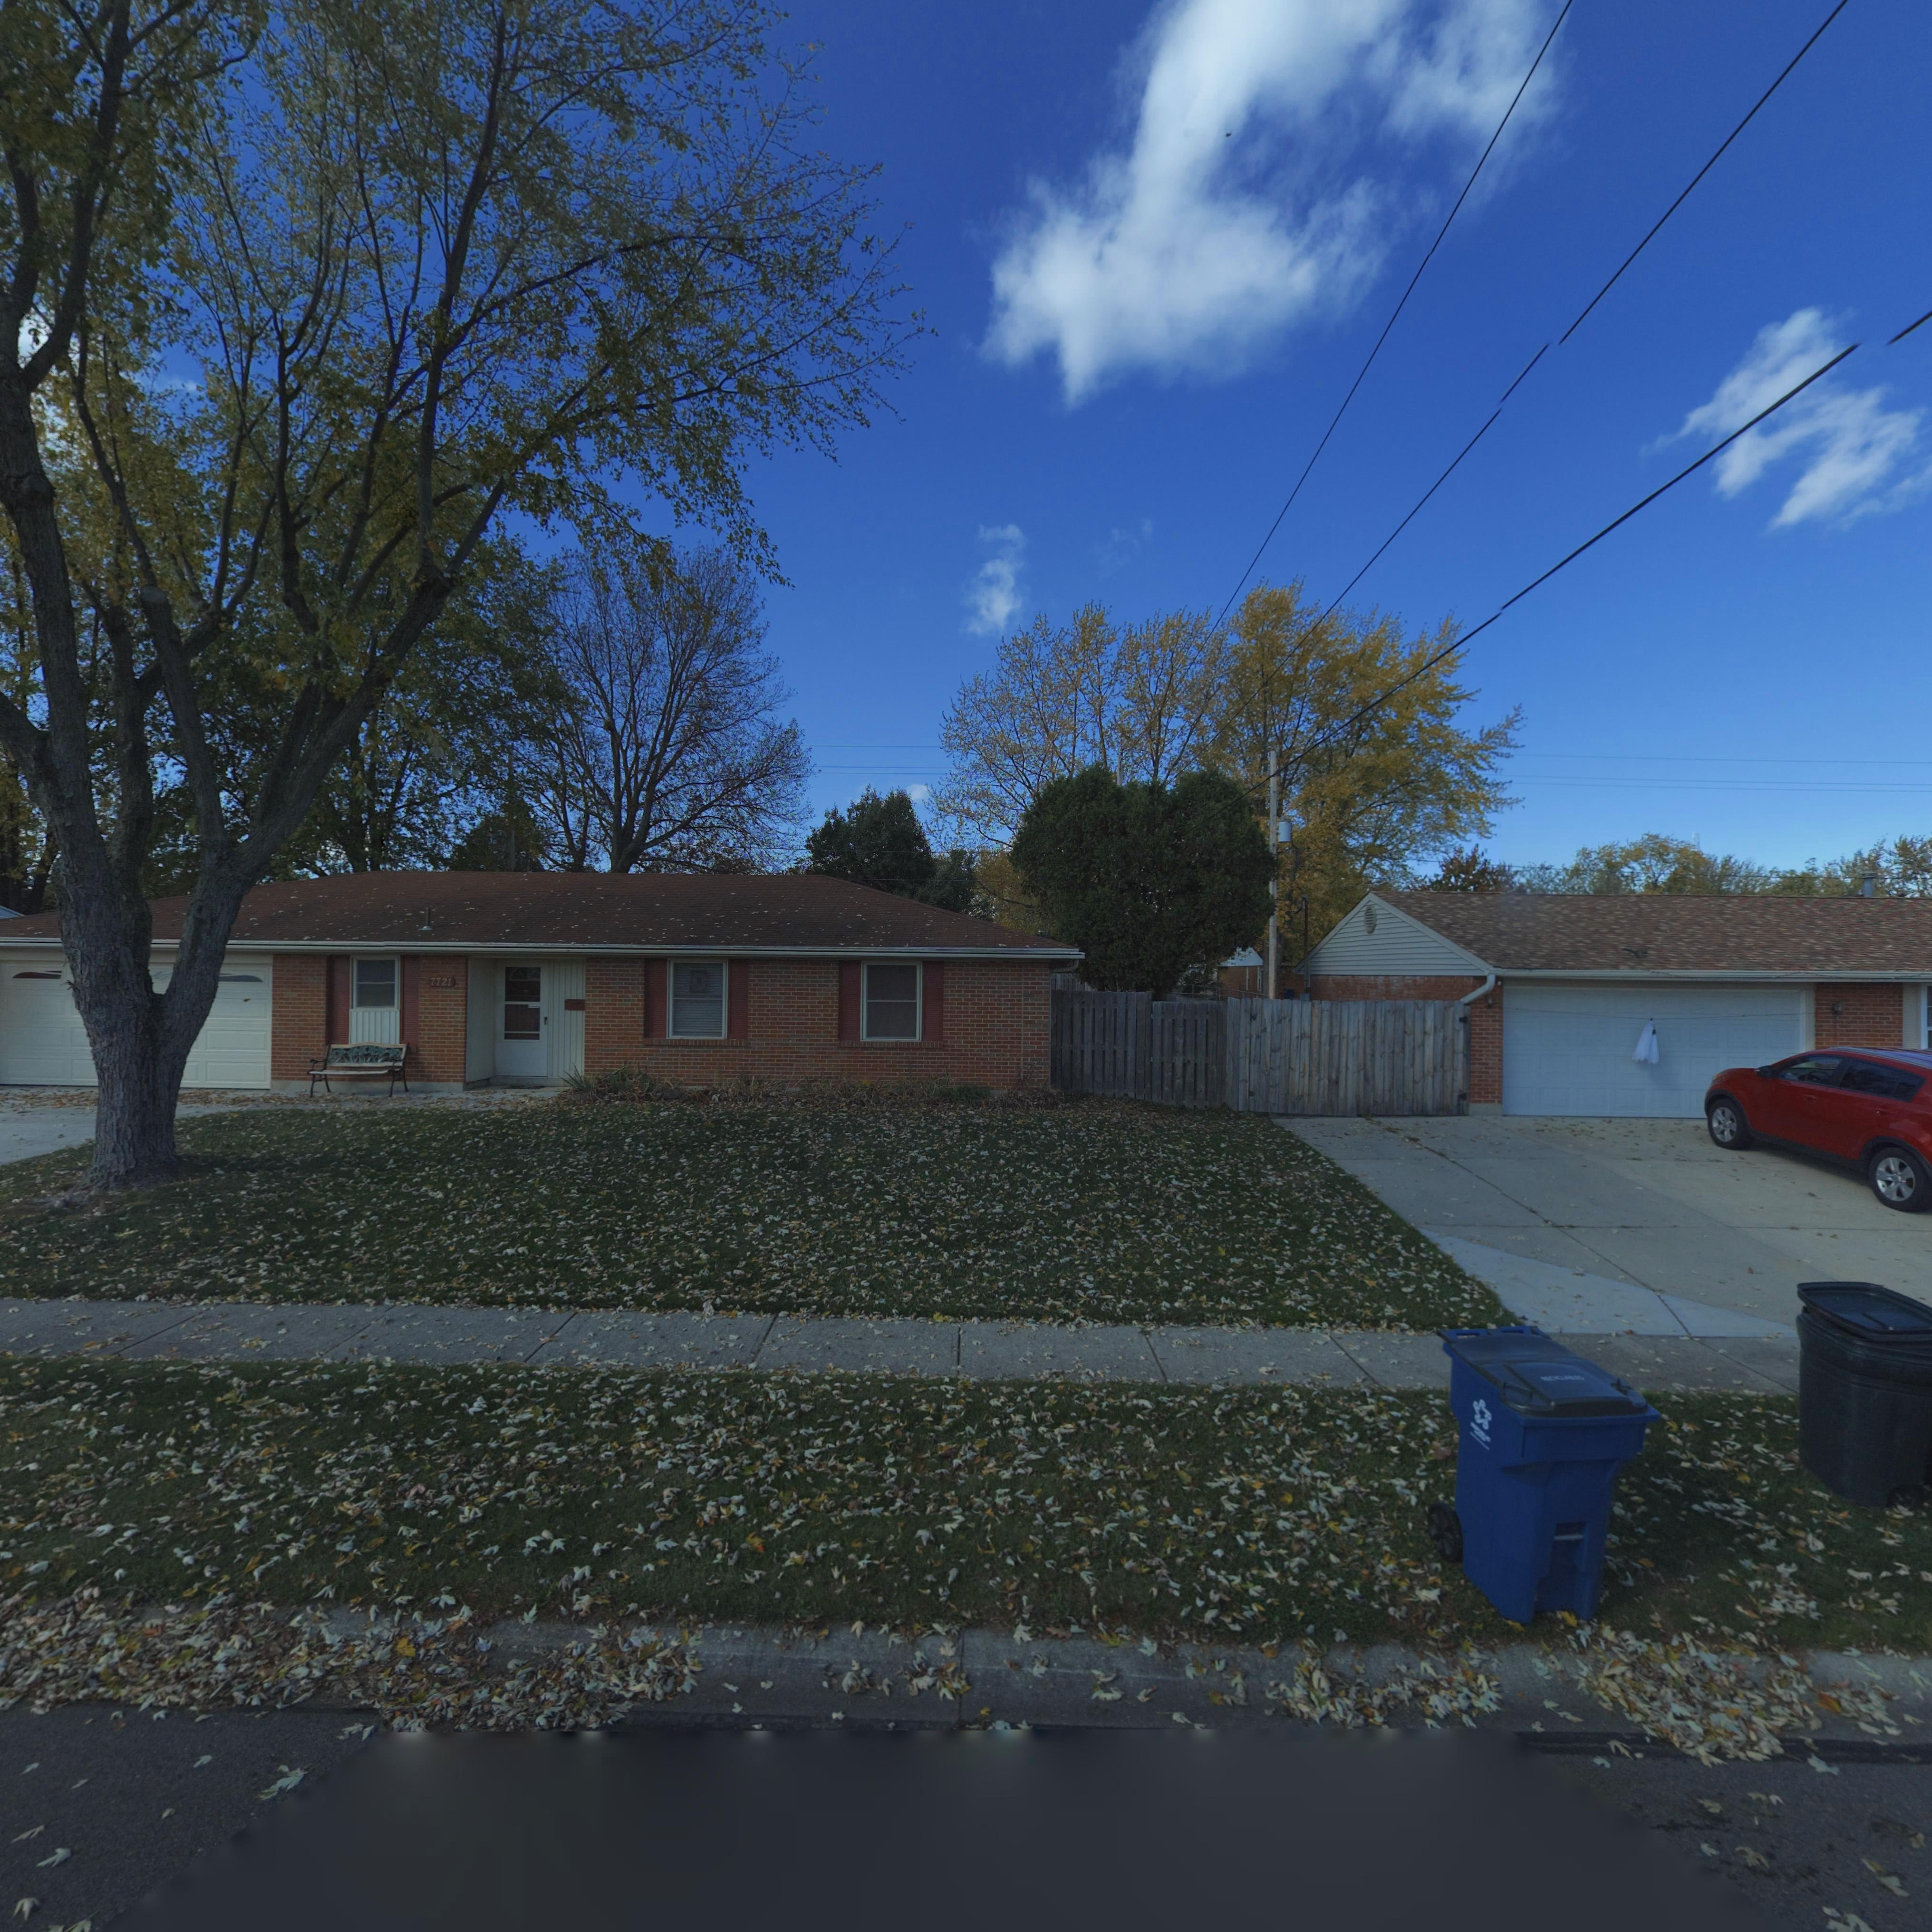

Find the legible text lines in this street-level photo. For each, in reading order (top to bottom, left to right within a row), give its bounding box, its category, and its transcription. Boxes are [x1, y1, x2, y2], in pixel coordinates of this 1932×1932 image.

[429, 976, 453, 987] StreetNumber: 7721